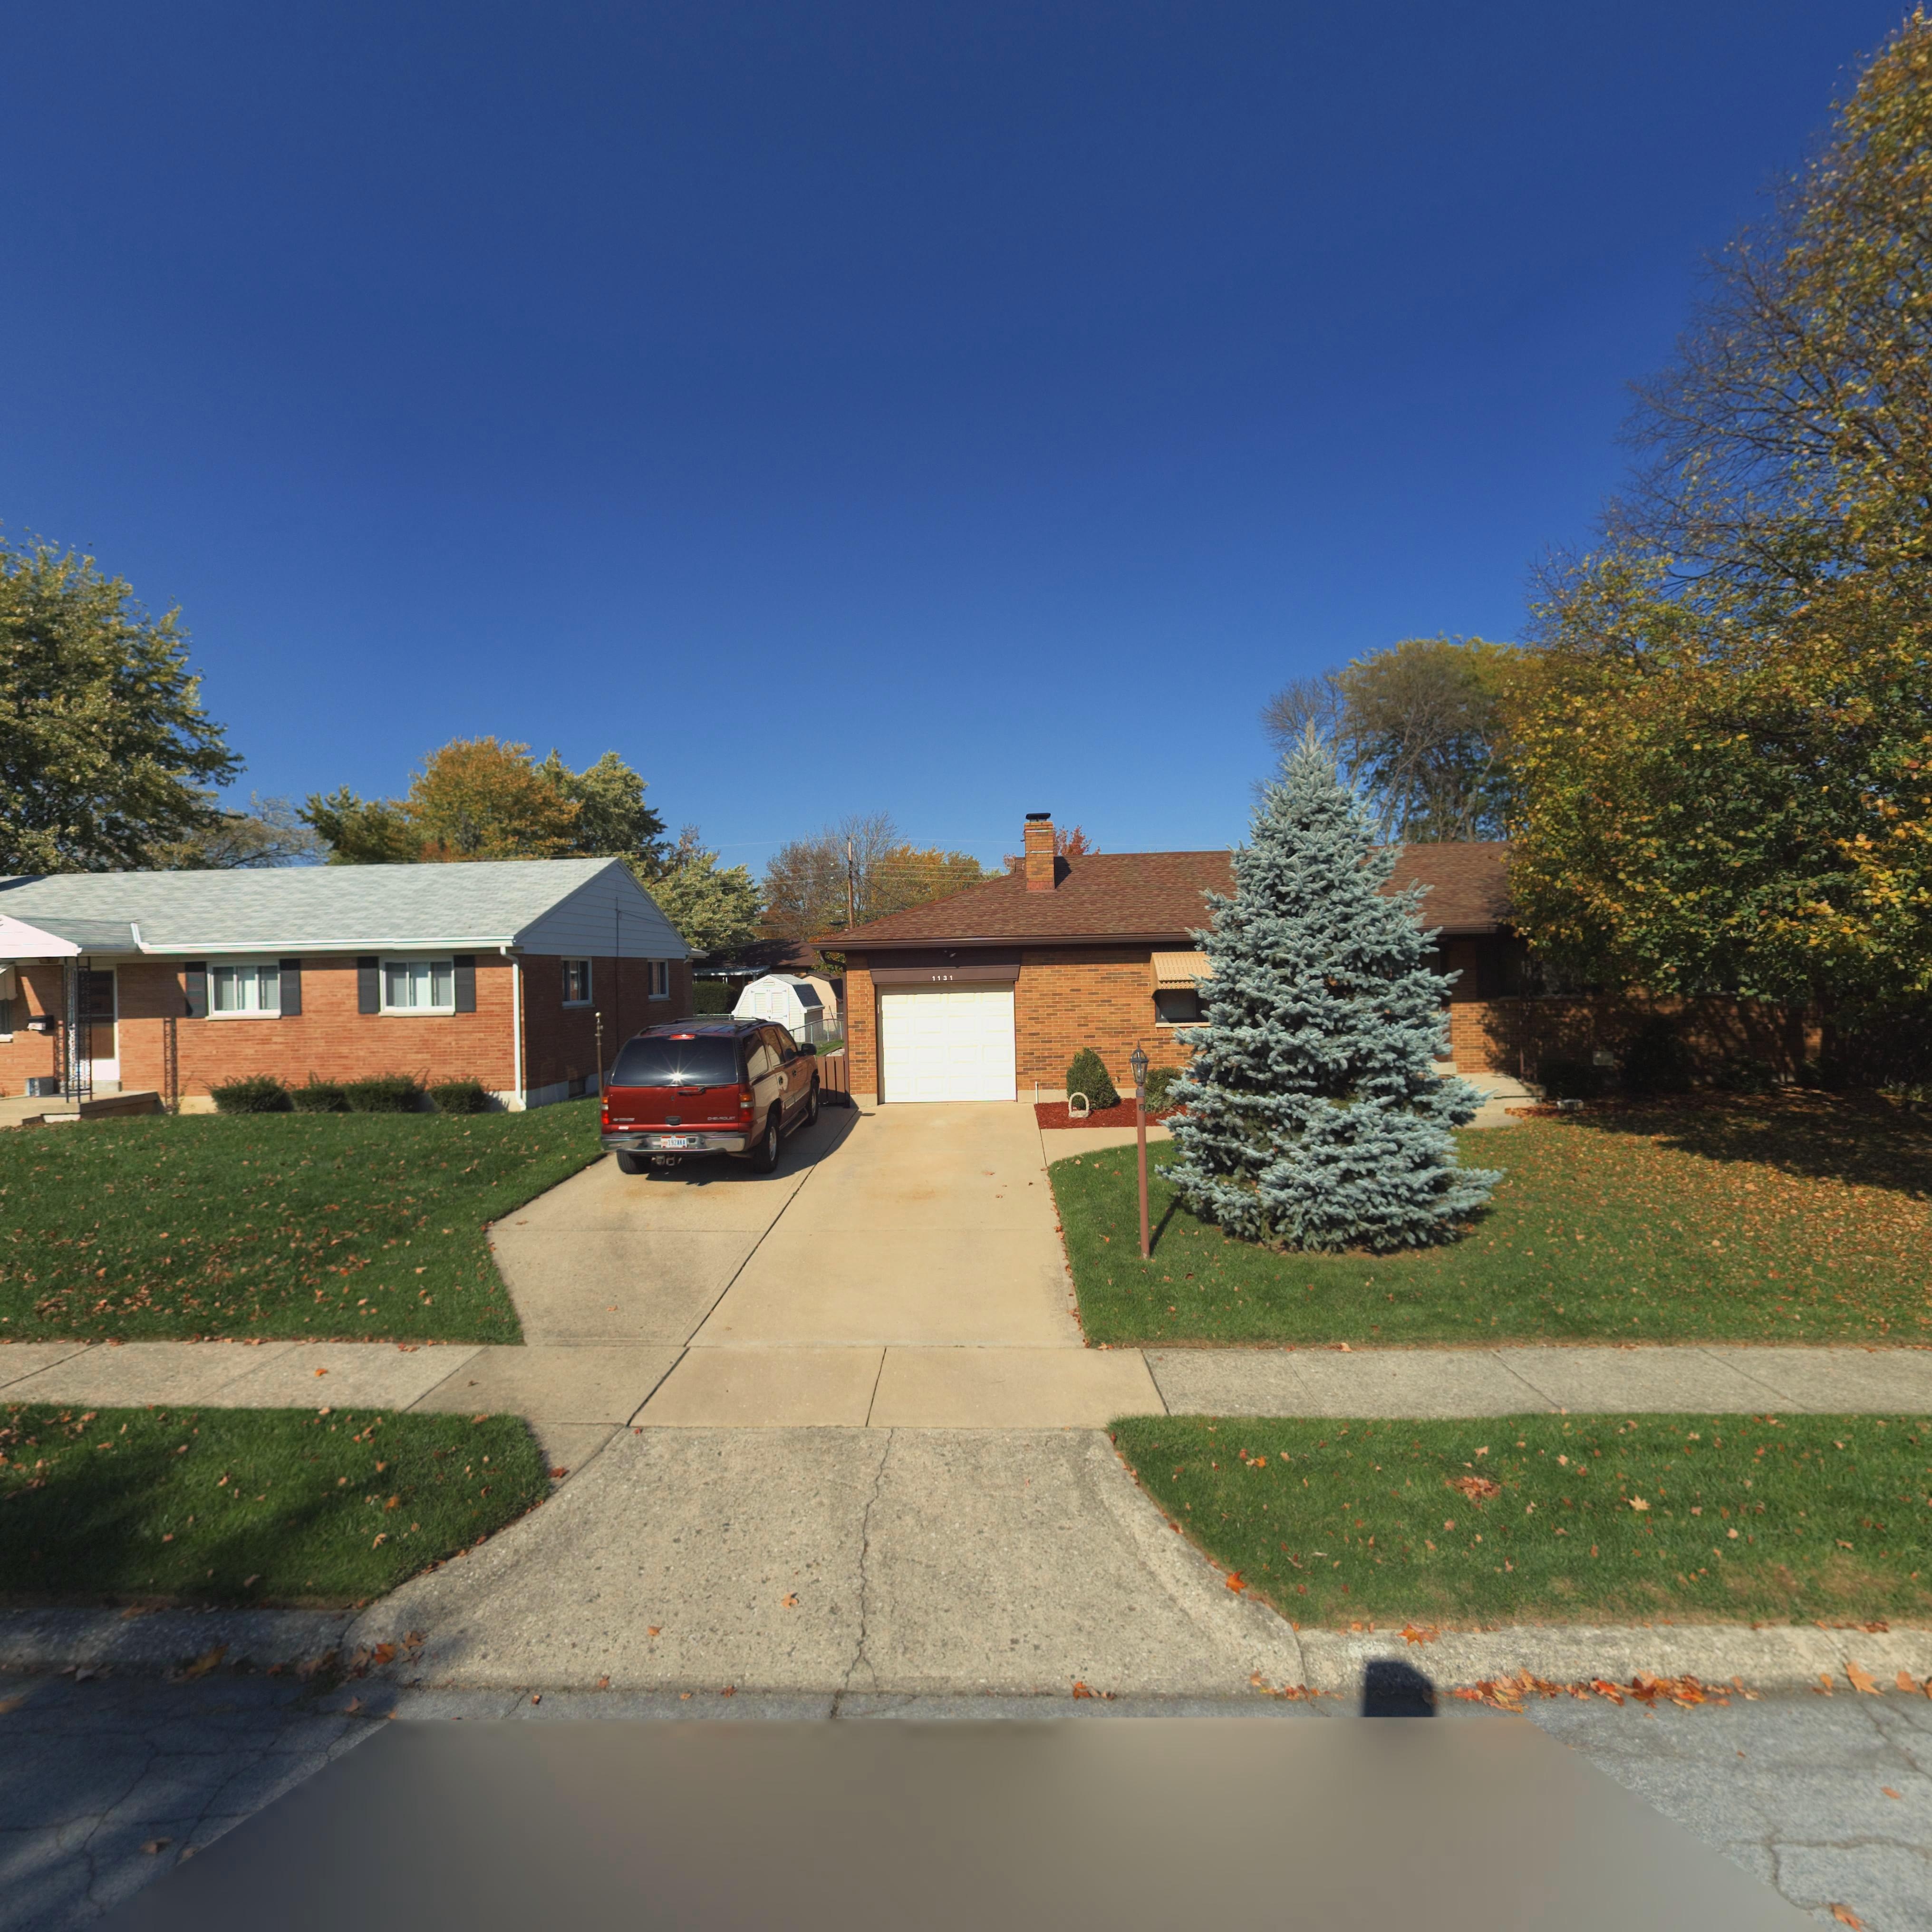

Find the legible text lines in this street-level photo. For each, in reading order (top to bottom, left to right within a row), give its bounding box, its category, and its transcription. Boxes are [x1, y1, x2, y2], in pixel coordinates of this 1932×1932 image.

[931, 975, 953, 981] StreetNumber: 1131
[707, 1116, 736, 1121] None: CHEVROLET
[667, 1139, 686, 1146] None: 192XKA